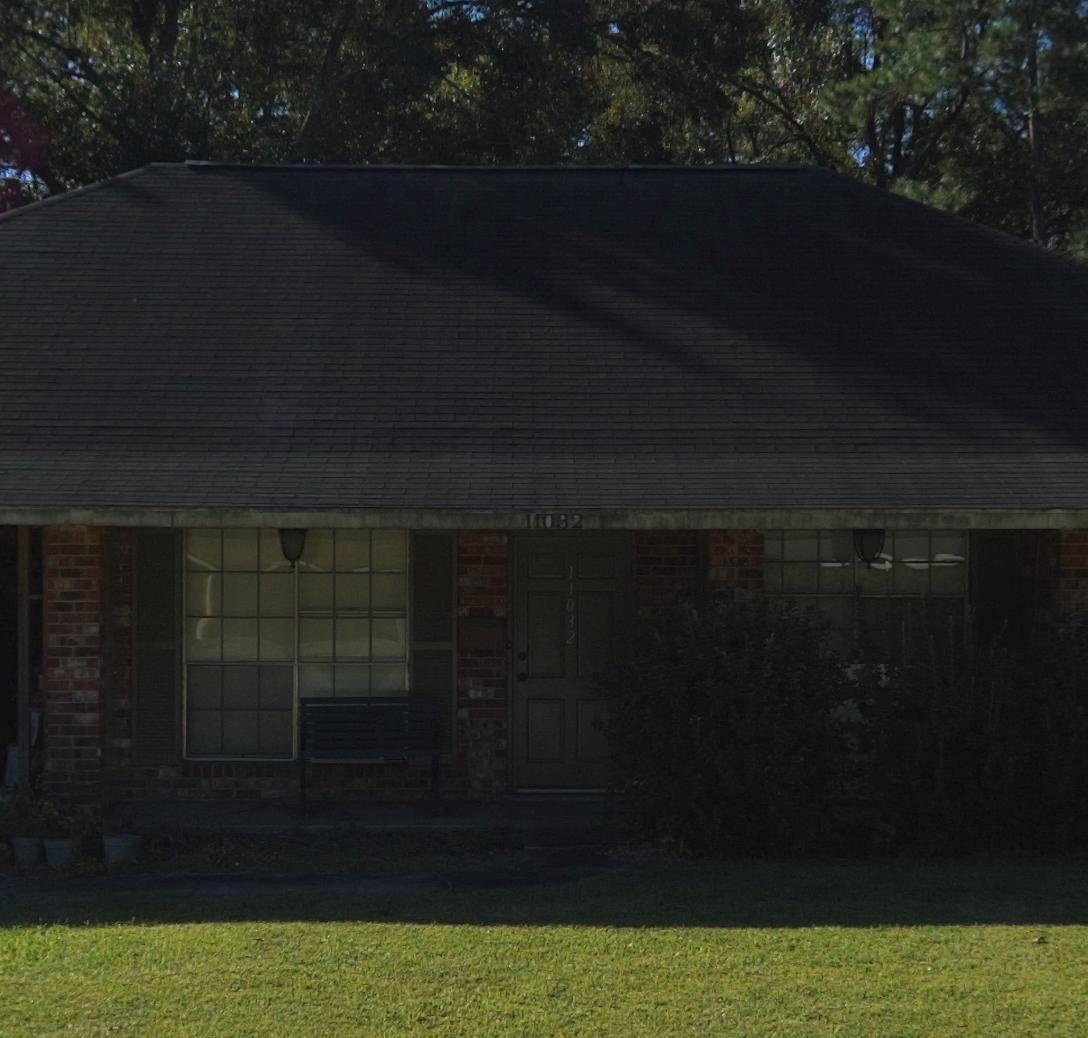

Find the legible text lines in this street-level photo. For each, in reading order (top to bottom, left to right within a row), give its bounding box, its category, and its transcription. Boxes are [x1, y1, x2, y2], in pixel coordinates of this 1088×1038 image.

[523, 511, 585, 531] StreetNumber: 11032
[563, 564, 578, 646] StreetNumber: 11032